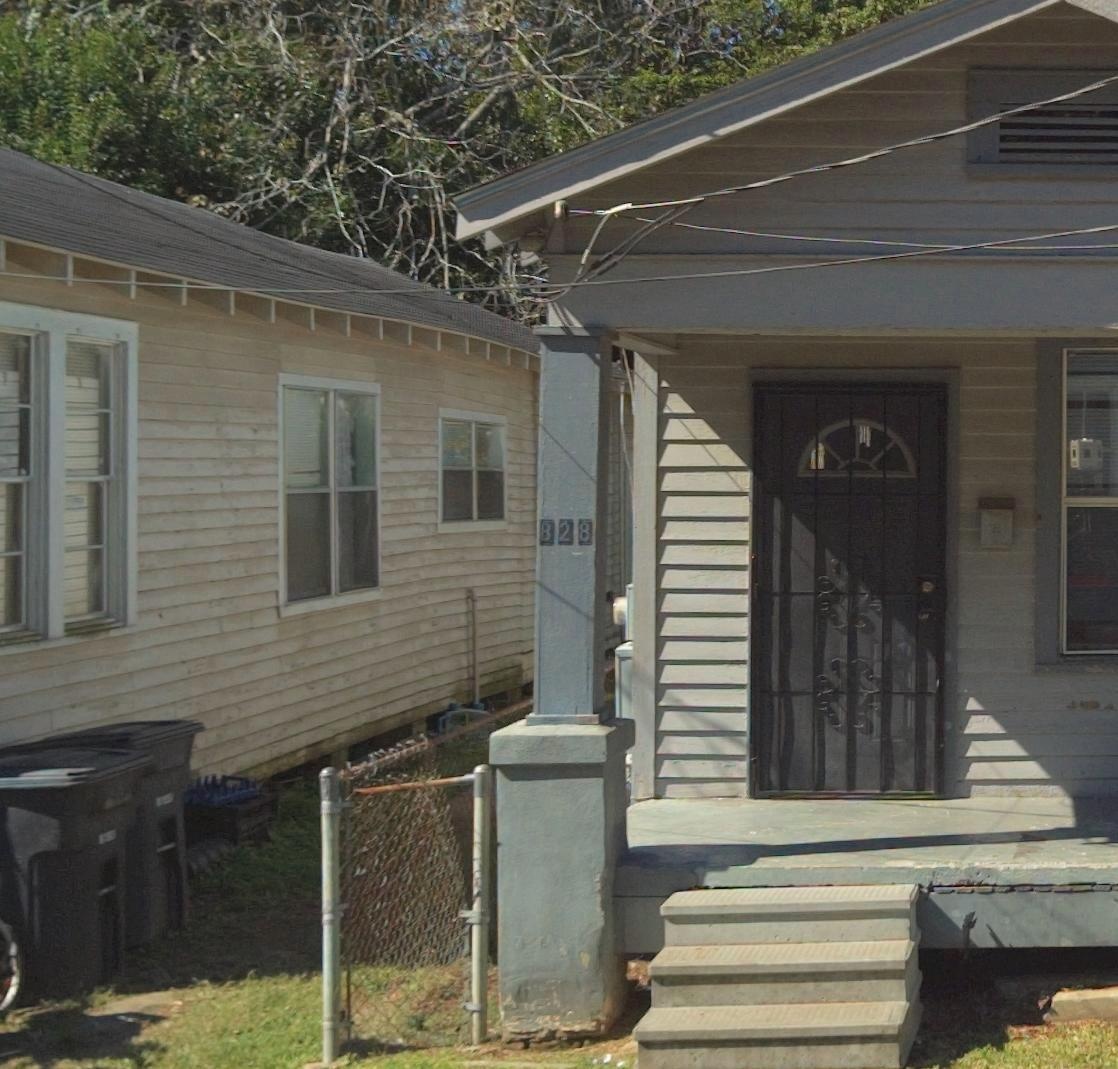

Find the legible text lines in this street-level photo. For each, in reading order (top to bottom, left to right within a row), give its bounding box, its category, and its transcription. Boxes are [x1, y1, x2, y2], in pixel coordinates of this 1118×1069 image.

[539, 520, 592, 544] StreetNumber: 828